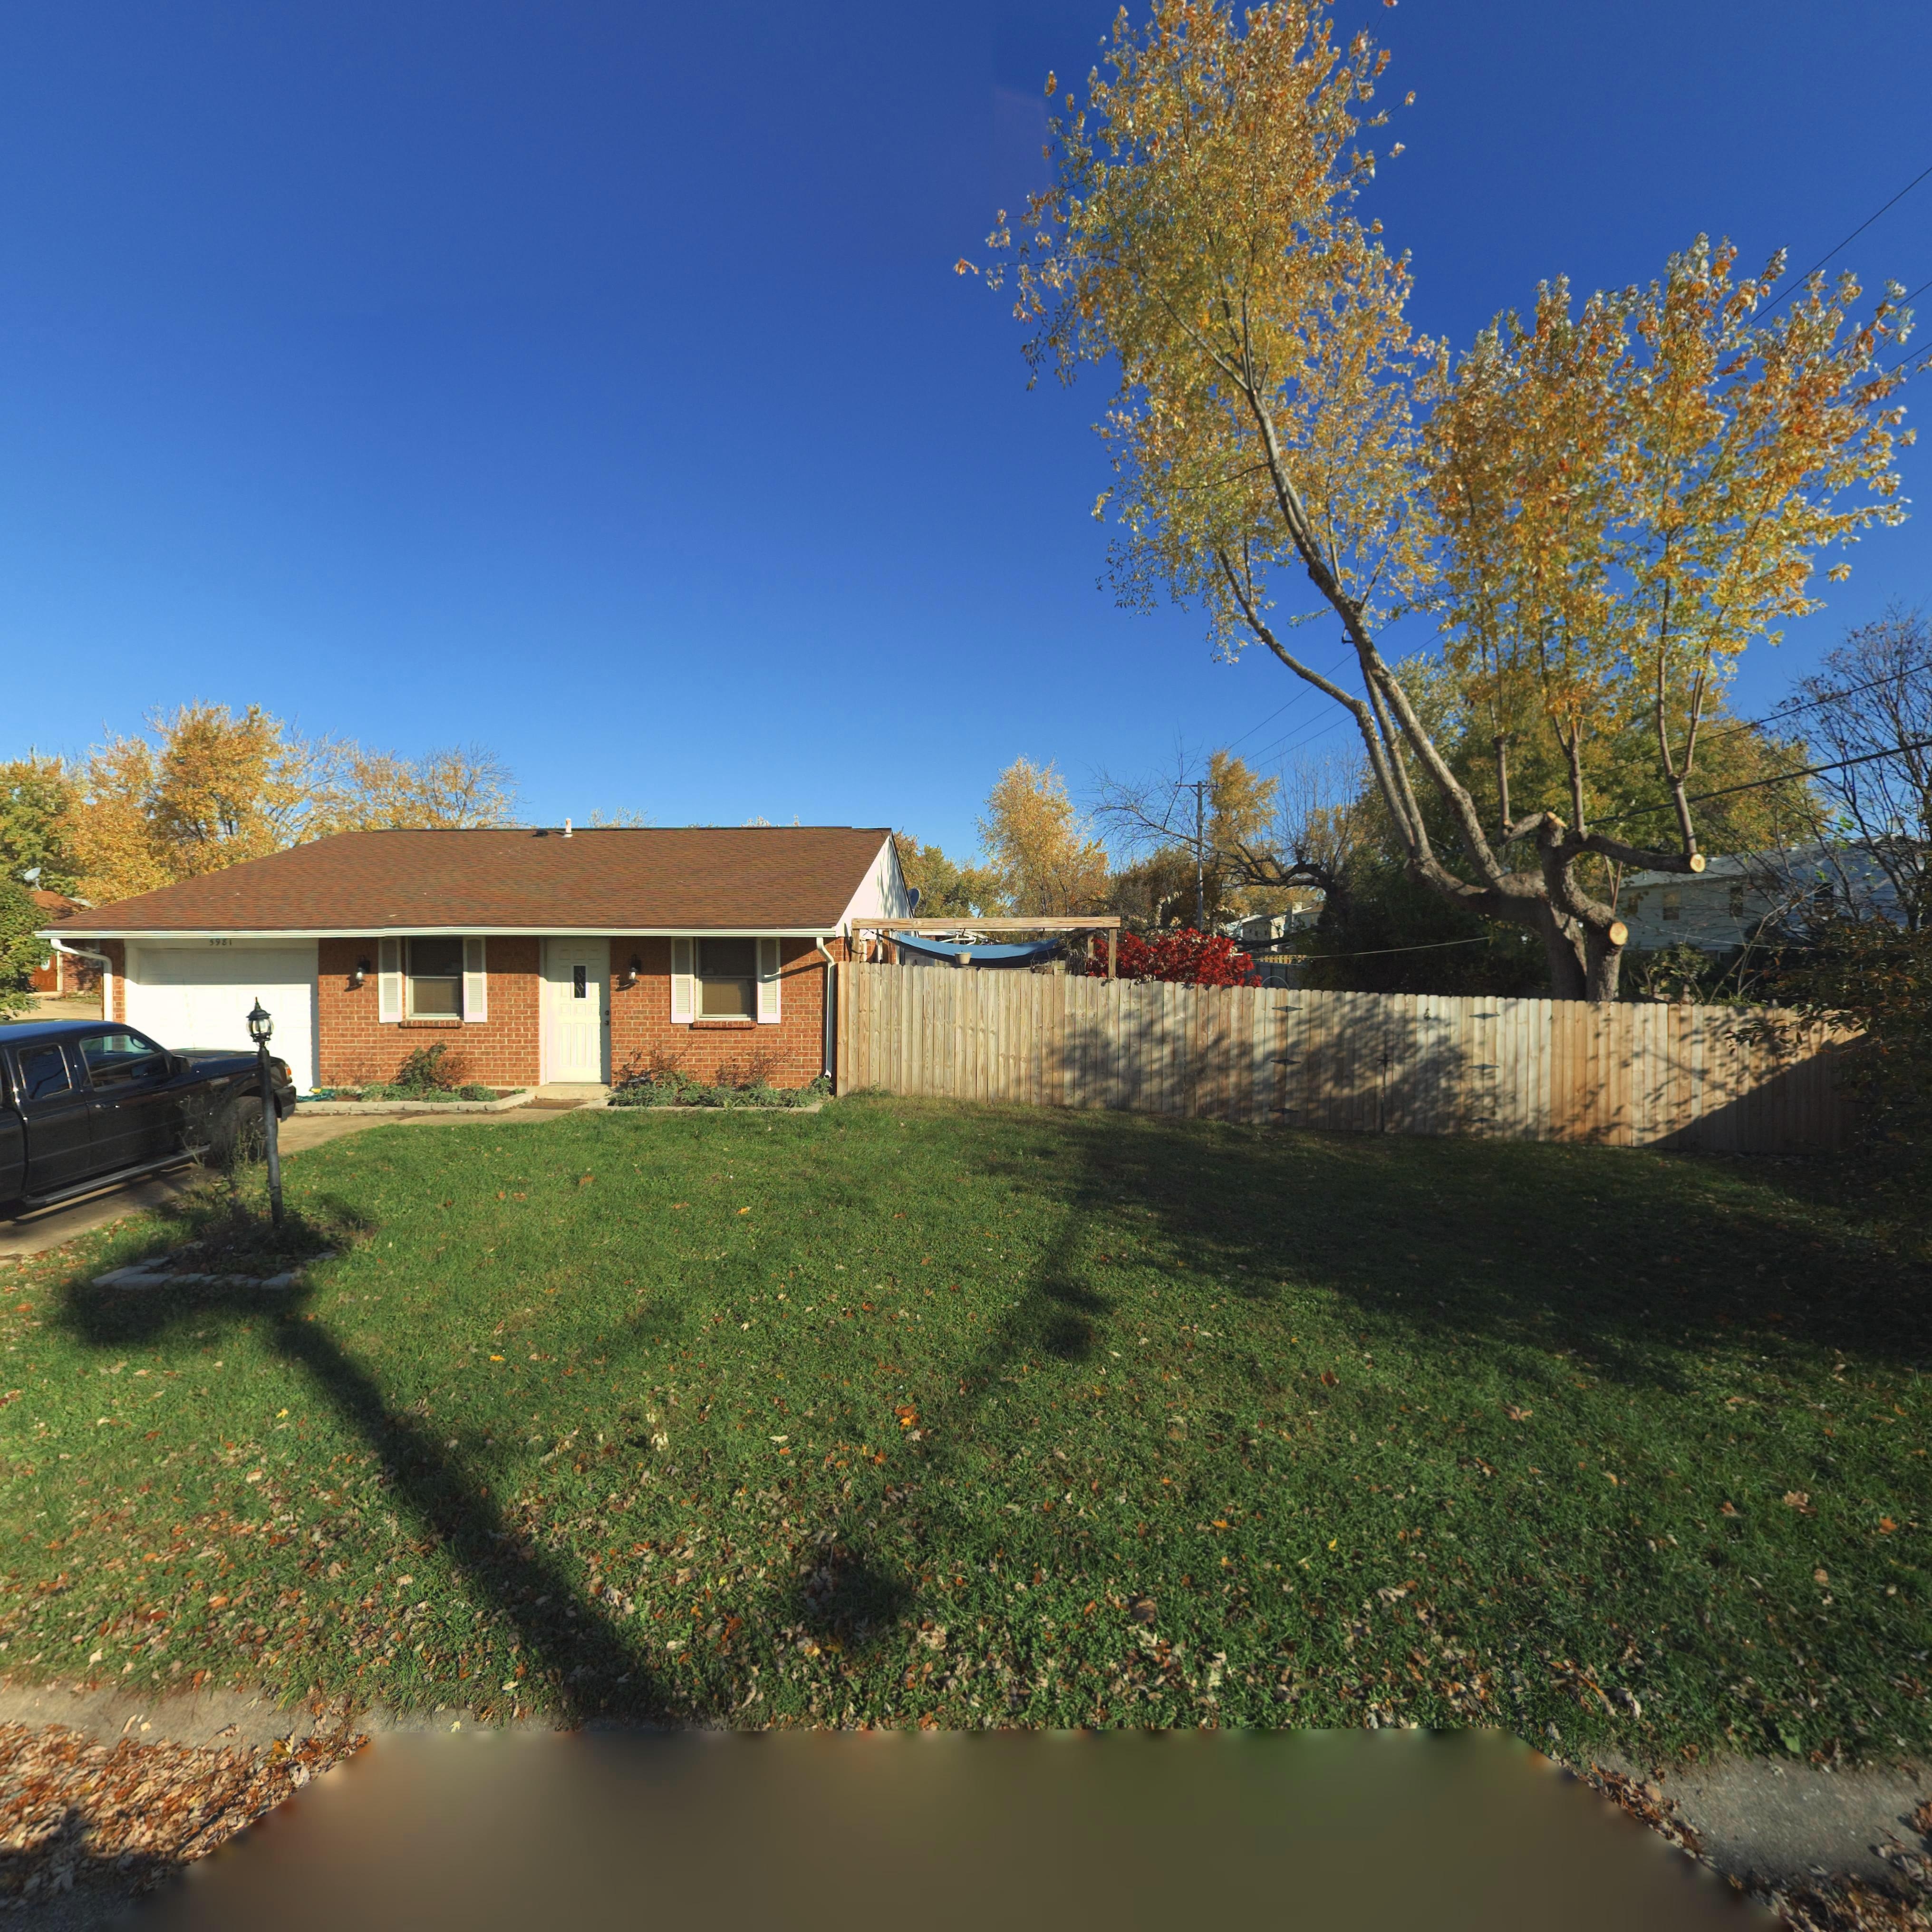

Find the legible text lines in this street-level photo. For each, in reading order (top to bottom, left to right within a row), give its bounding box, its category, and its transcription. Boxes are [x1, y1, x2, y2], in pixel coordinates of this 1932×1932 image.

[208, 937, 233, 947] StreetNumber: 5981